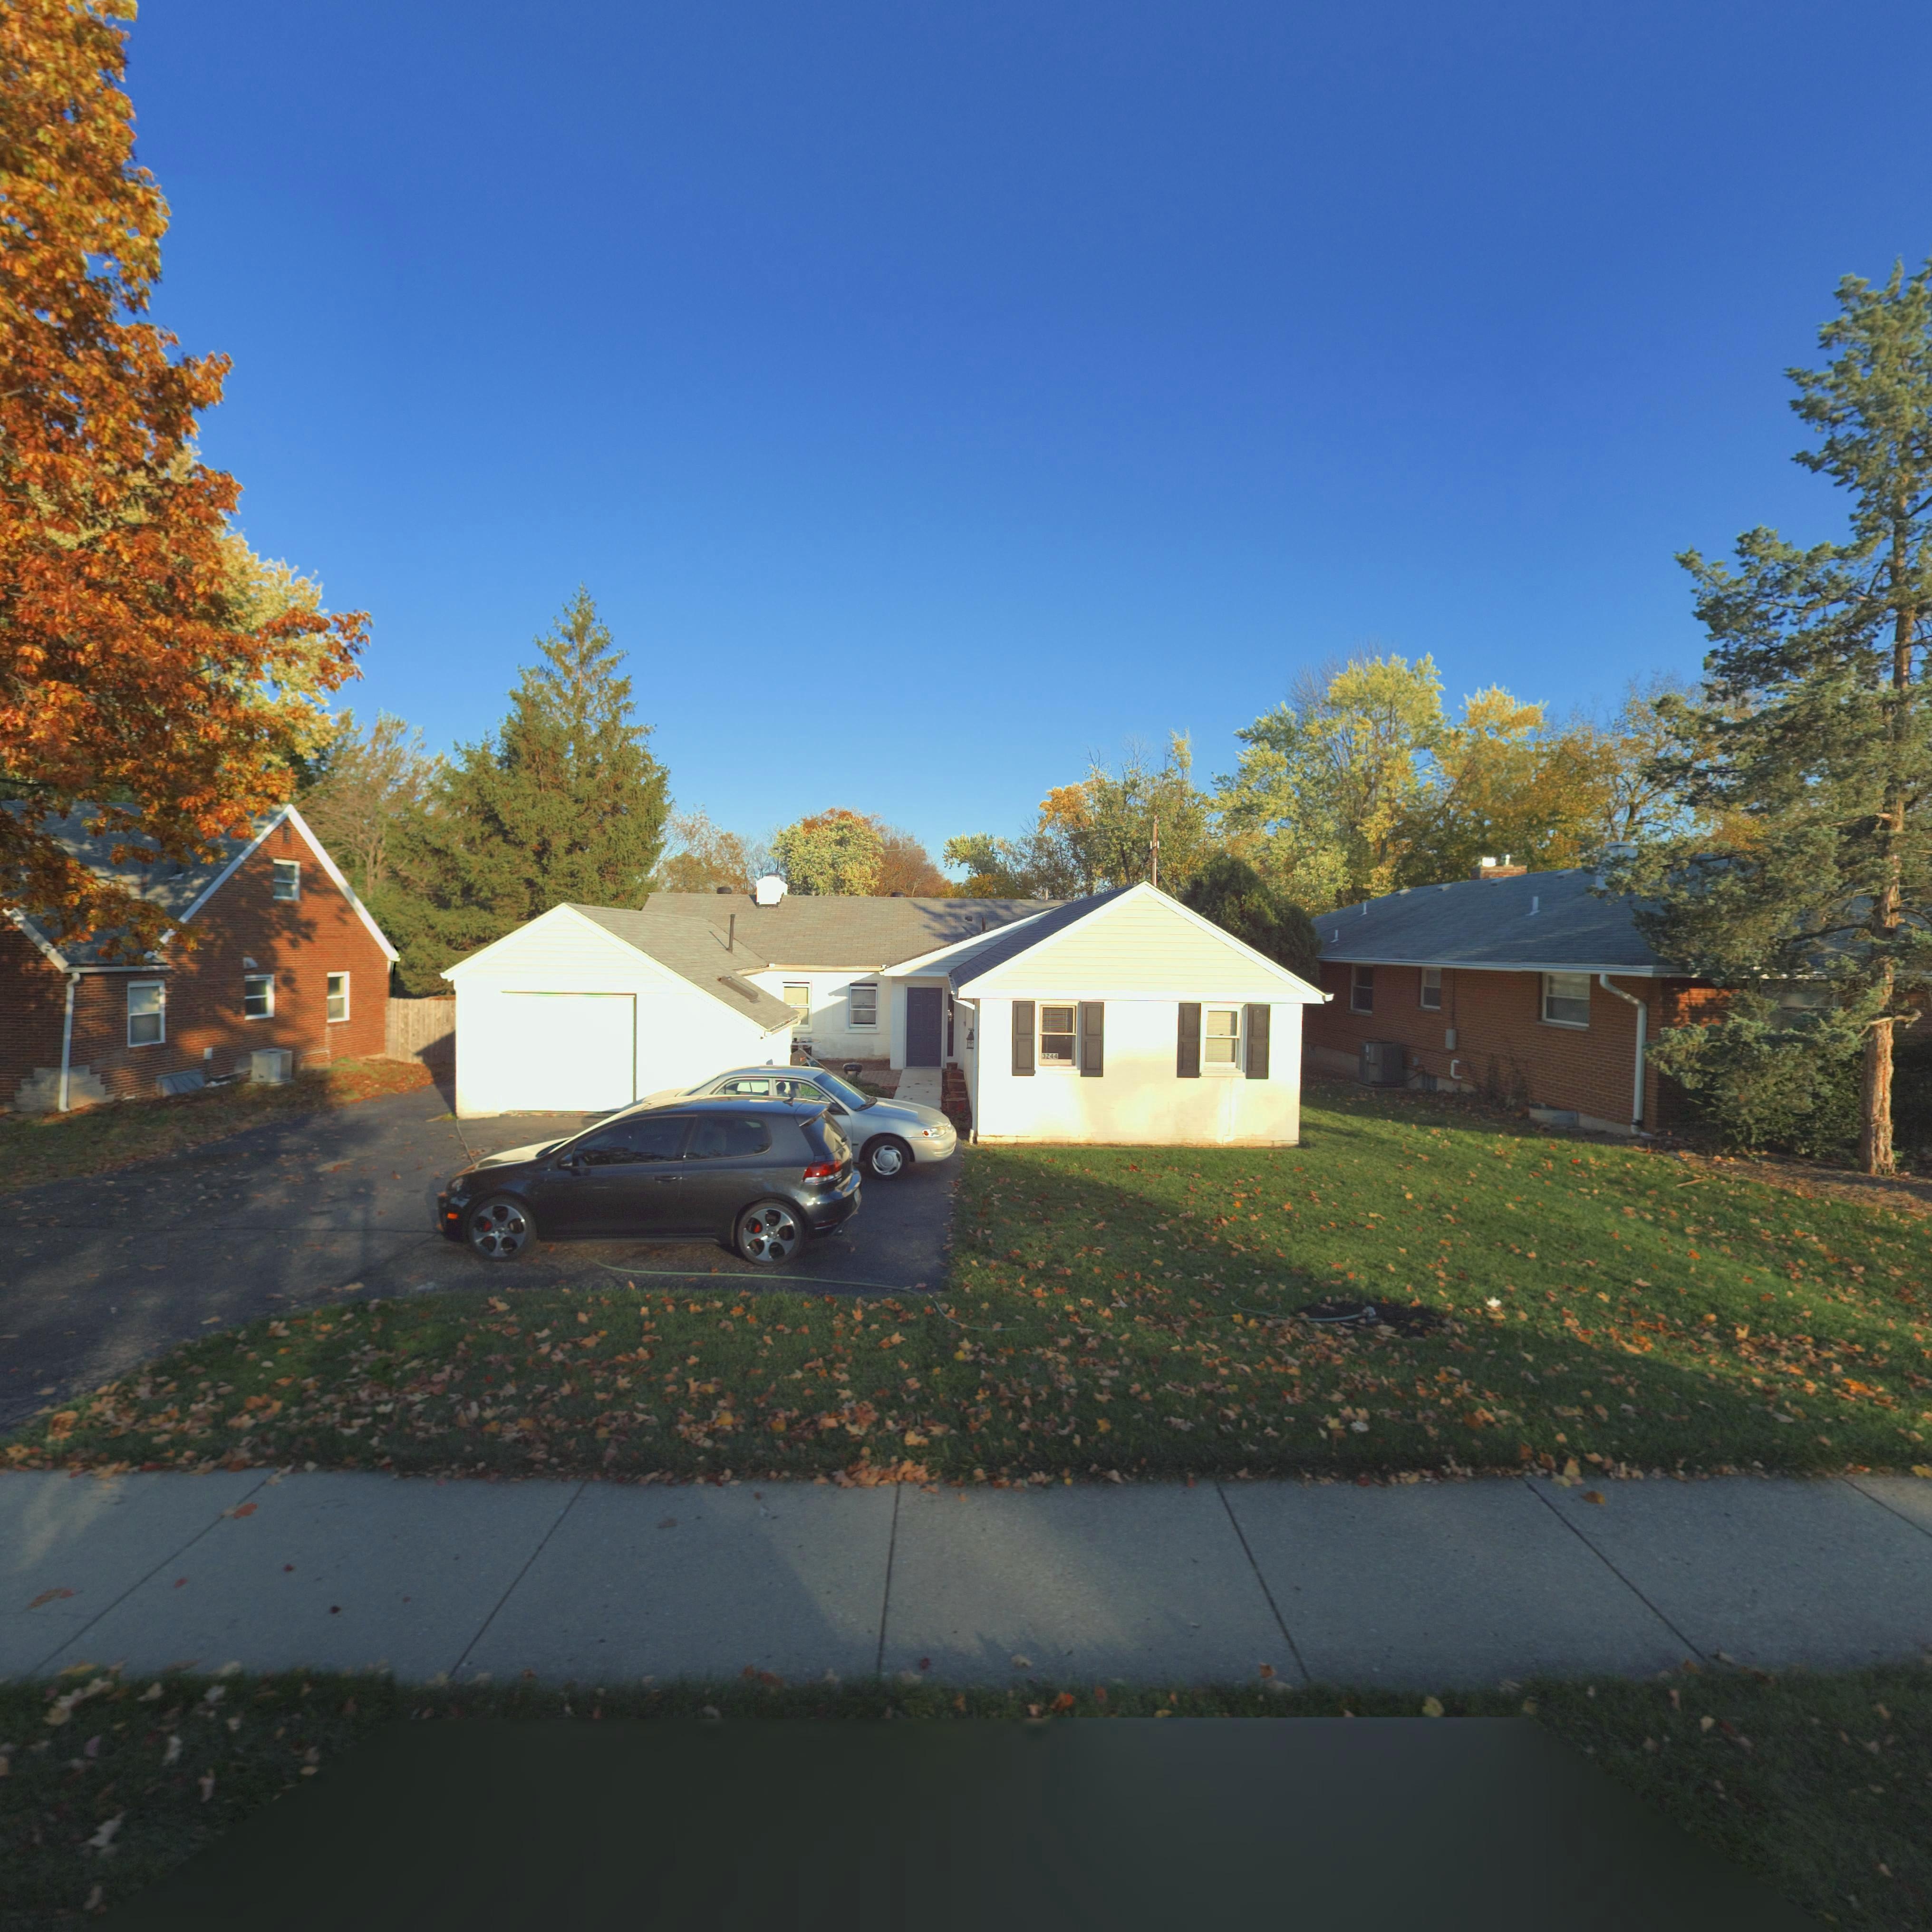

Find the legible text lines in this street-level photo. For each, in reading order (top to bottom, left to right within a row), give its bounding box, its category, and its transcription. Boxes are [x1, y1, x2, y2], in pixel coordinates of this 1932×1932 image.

[1042, 1053, 1058, 1060] StreetNumber: 3244